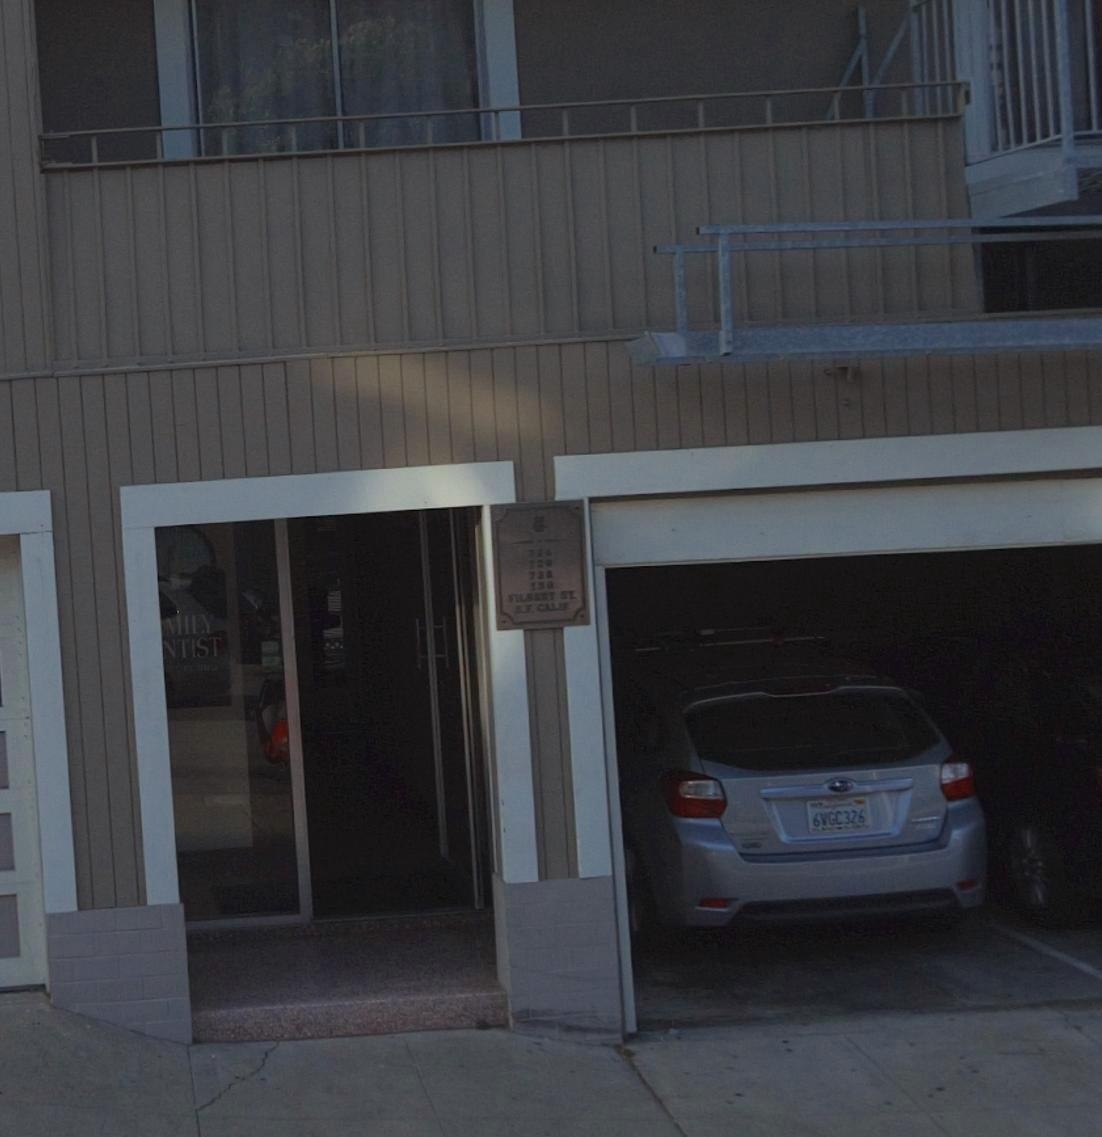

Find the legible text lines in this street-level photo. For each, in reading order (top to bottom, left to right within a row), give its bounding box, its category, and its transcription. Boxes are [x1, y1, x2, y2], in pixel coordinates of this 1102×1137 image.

[507, 588, 578, 604] StreetName: FILBERT ST.
[513, 600, 570, 616] None: S.F. CALI
[164, 611, 215, 639] None: MILY
[161, 634, 222, 662] None: NTIST
[810, 807, 868, 829] None: 6VGC326